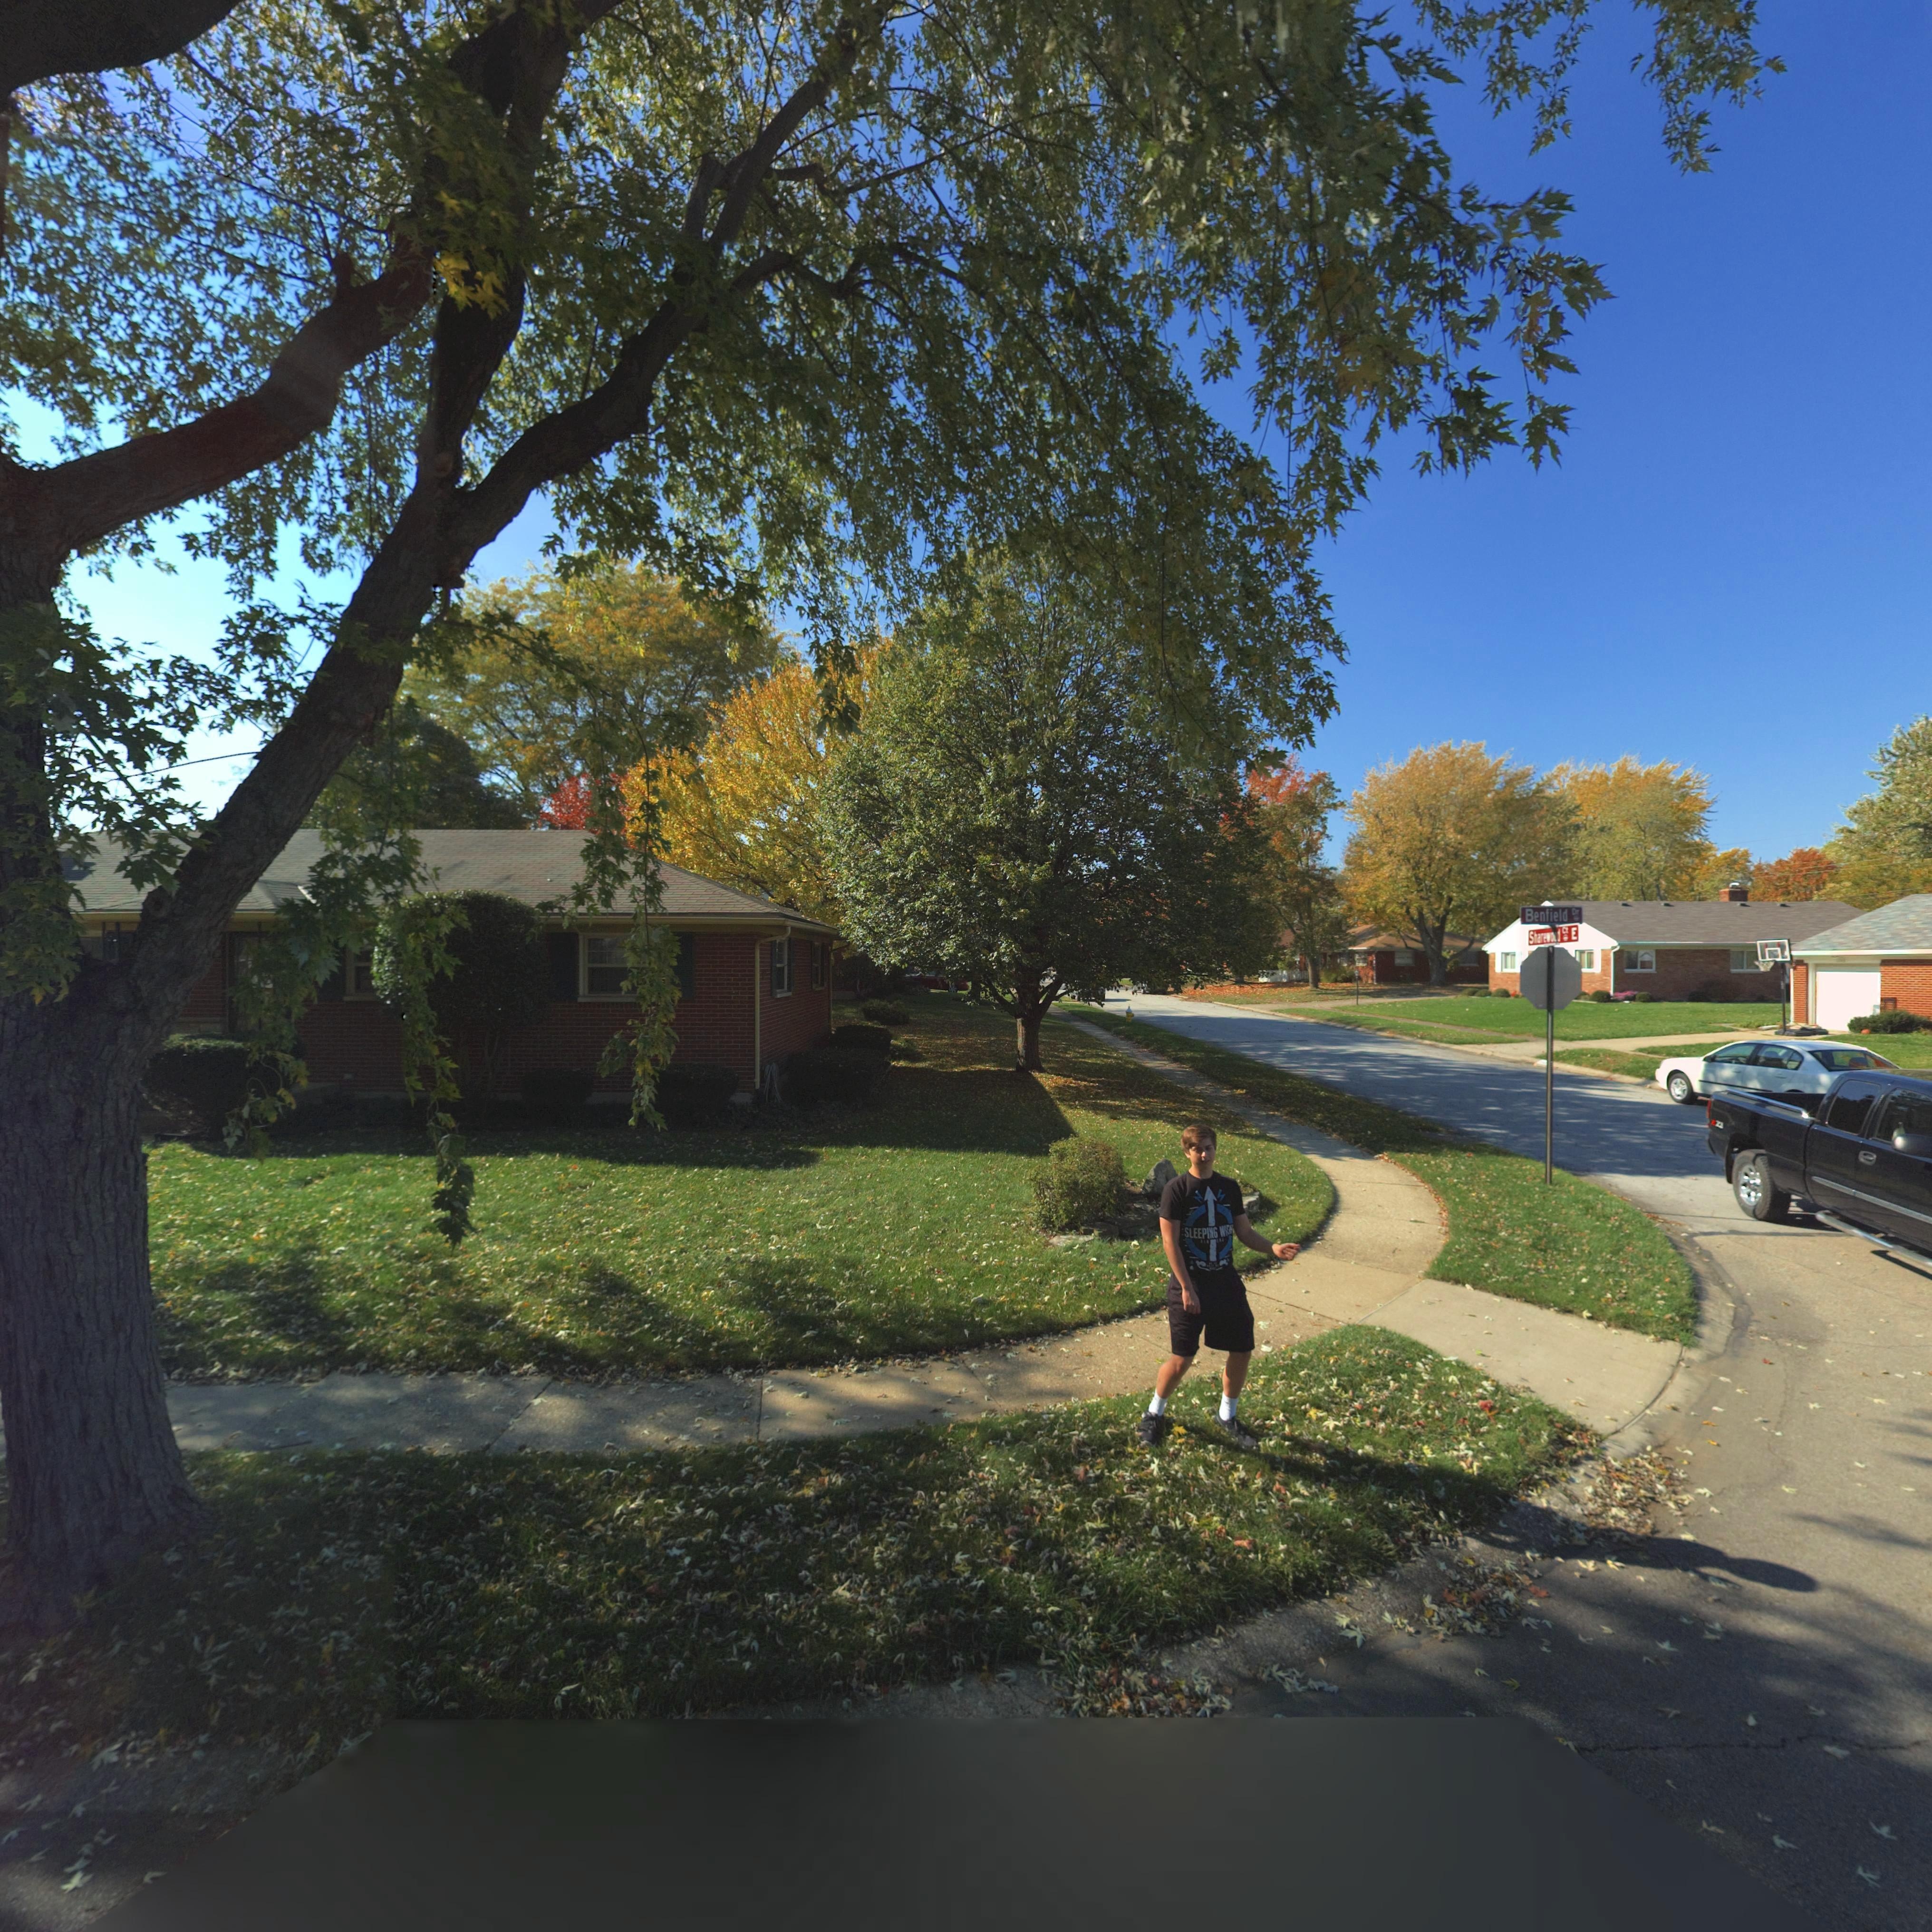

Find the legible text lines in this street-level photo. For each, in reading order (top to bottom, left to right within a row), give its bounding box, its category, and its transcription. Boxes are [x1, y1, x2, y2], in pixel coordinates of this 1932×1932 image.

[1525, 906, 1581, 923] StreetName: Benfield Dr
[1528, 925, 1578, 945] StreetName: S*ar**o** Ct E